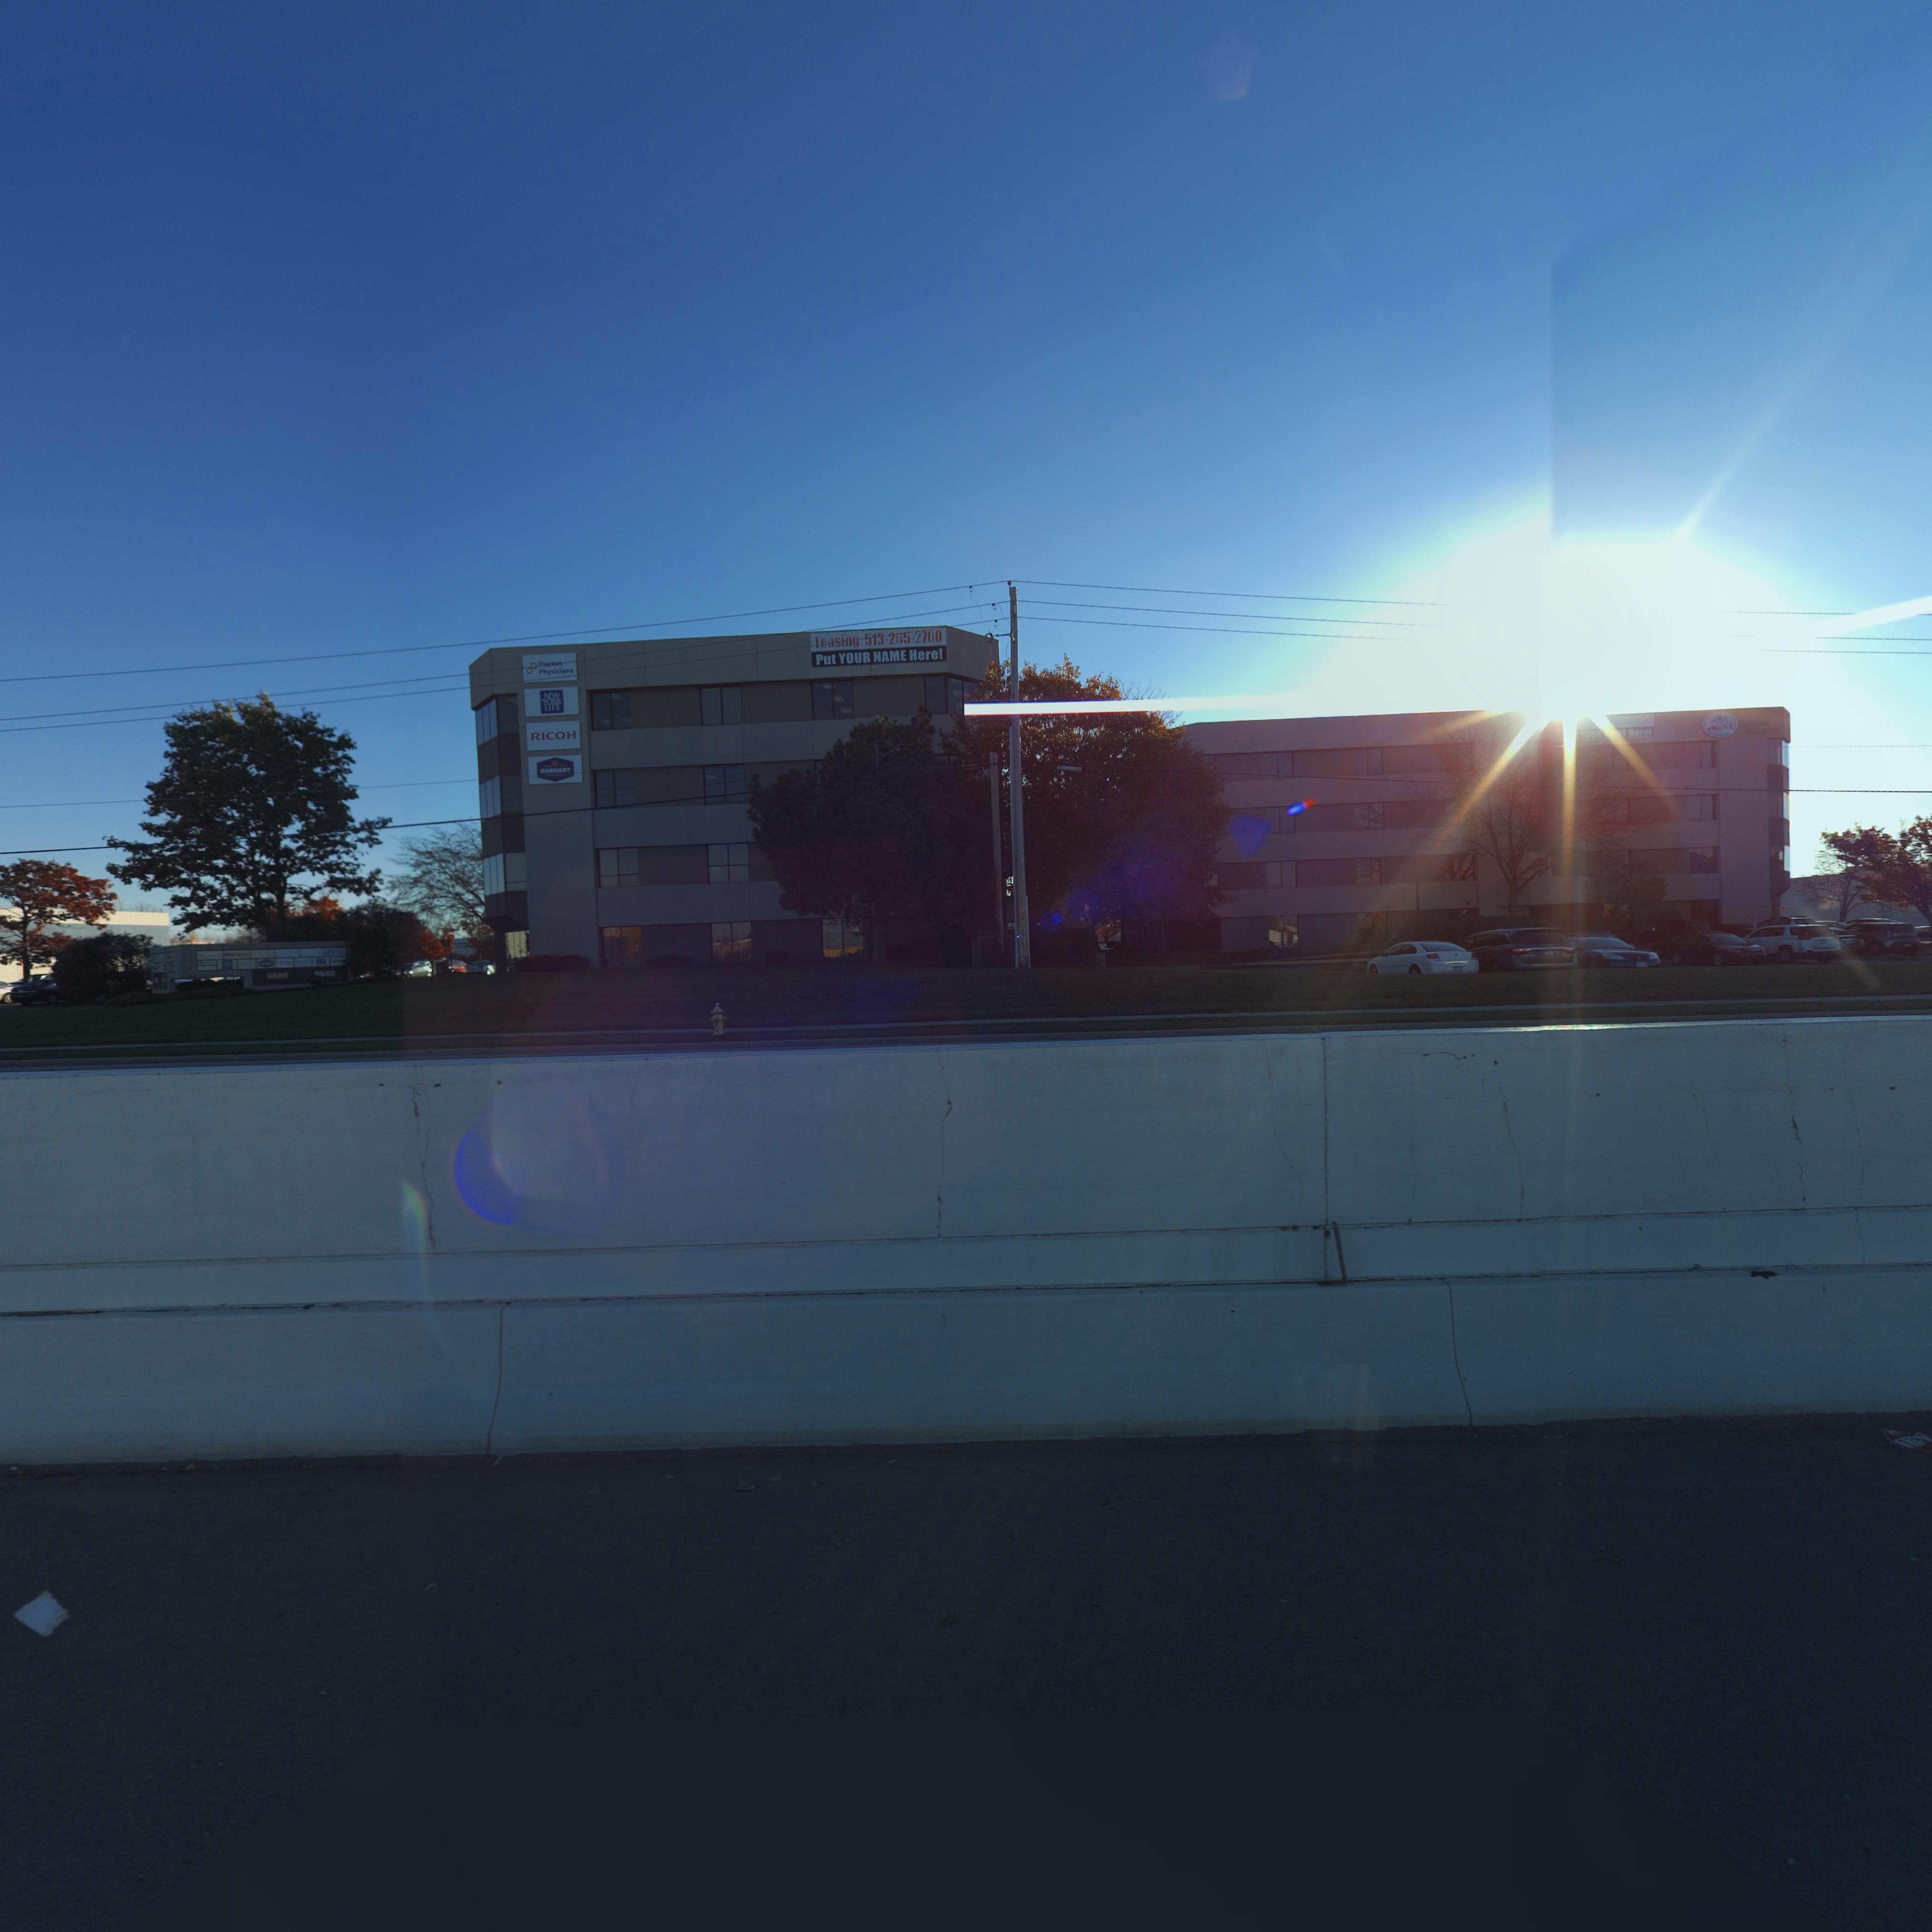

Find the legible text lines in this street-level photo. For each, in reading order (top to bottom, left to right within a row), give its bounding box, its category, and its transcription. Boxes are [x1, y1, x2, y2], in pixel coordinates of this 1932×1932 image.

[814, 628, 943, 650] None: Leasing 513-265-2700
[813, 646, 945, 666] None: Put YOUR NAME Here!
[537, 660, 563, 666] None: DAYTON
[537, 667, 574, 675] None: PHYSICIANS
[543, 691, 560, 699] None: NEW
[542, 696, 561, 705] None: YORK
[542, 702, 564, 713] None: LIFE
[531, 729, 577, 742] None: RICOH
[540, 767, 571, 773] None: EARKHART
[265, 971, 290, 980] StreetNumber: 6680
[313, 969, 336, 978] StreetNumber: **40